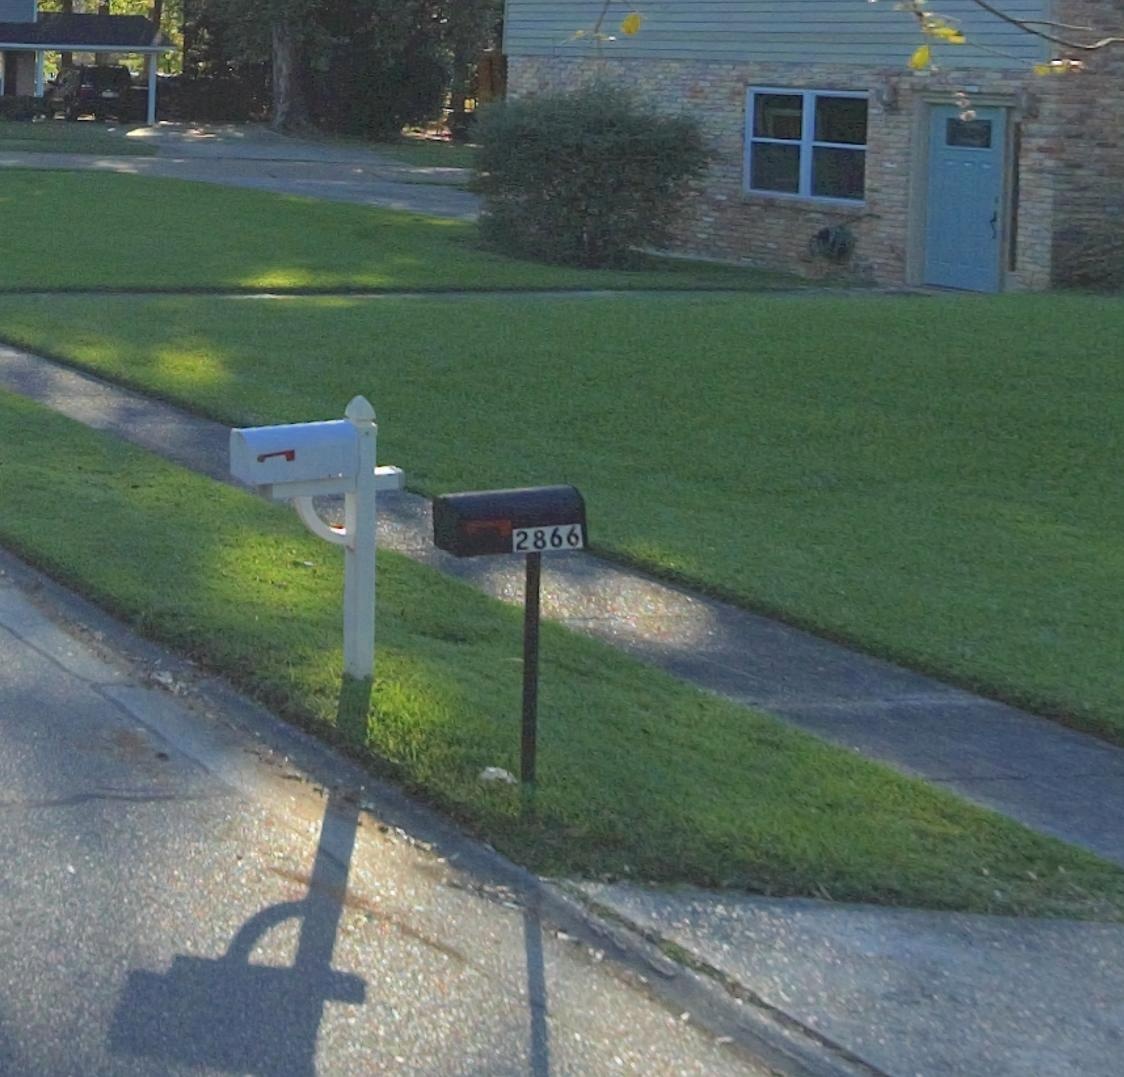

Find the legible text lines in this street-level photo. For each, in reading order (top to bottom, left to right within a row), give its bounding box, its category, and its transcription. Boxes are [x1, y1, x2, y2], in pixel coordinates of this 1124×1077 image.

[515, 525, 581, 551] StreetNumber: 2866